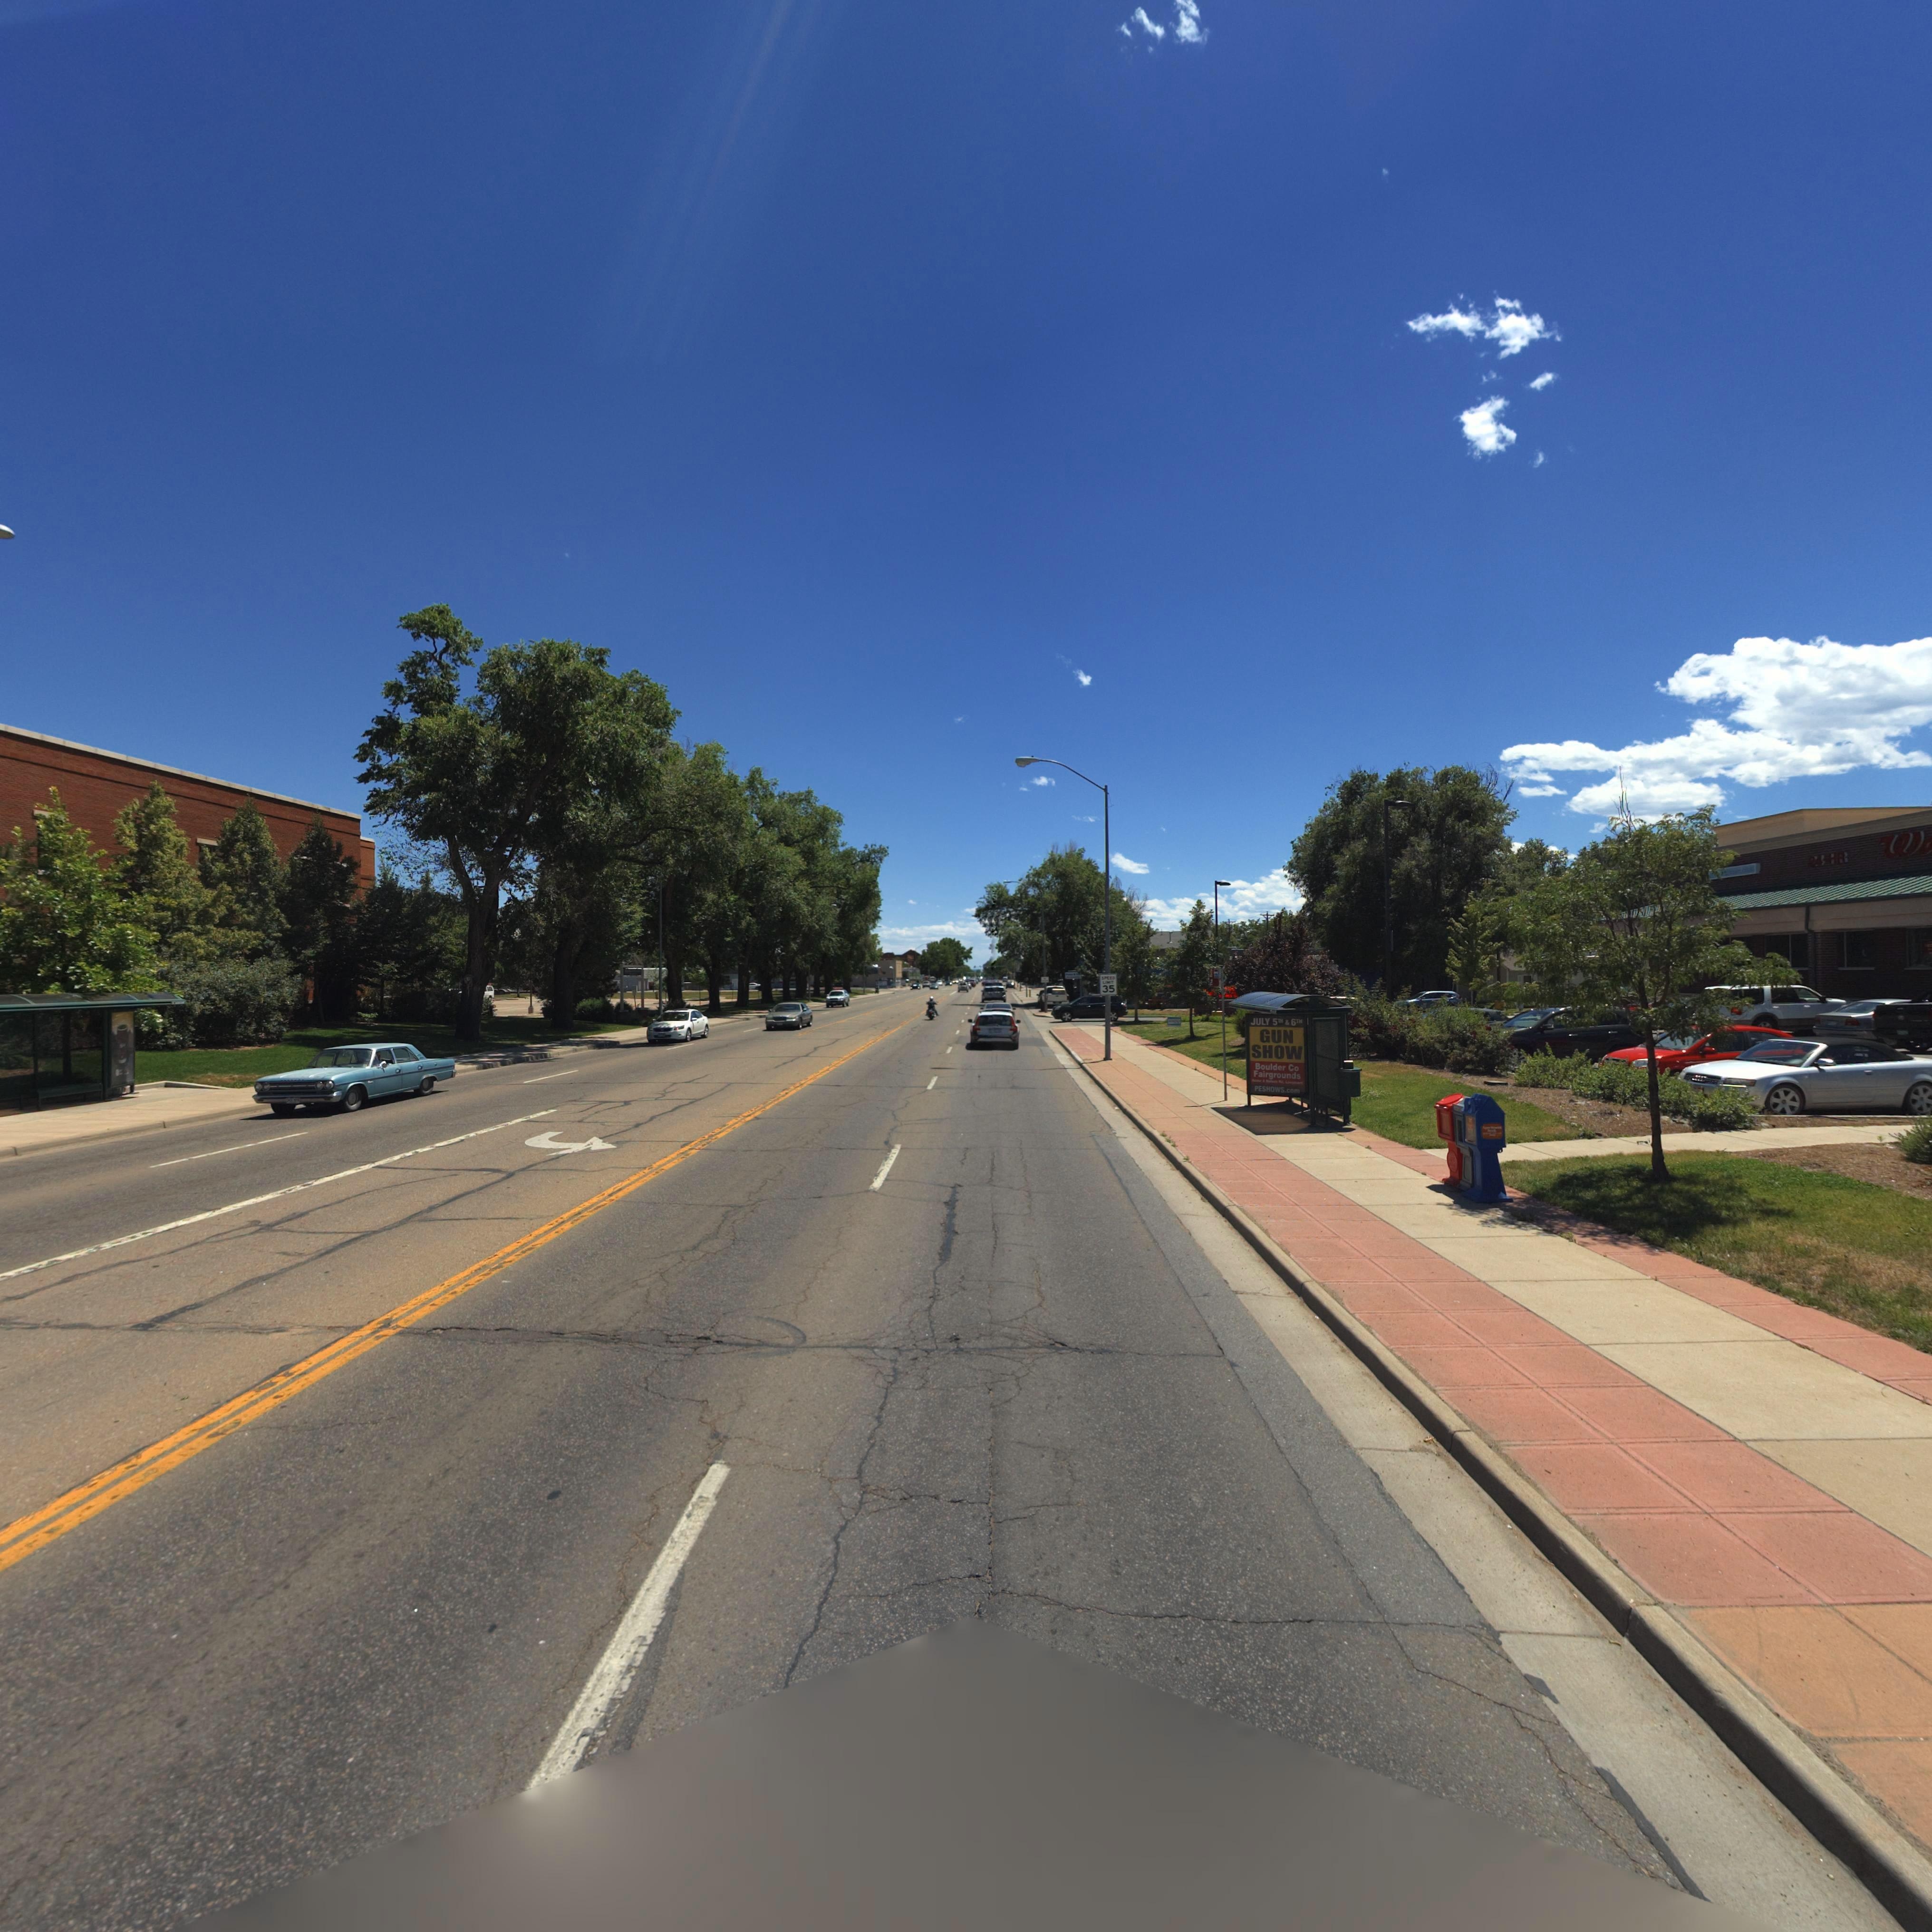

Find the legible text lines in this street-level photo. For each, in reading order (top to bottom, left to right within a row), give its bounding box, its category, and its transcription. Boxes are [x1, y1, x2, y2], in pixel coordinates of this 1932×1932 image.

[1879, 830, 1924, 859] BusinessName: W
[1065, 973, 1081, 976] BusinessName: Paws & Cl